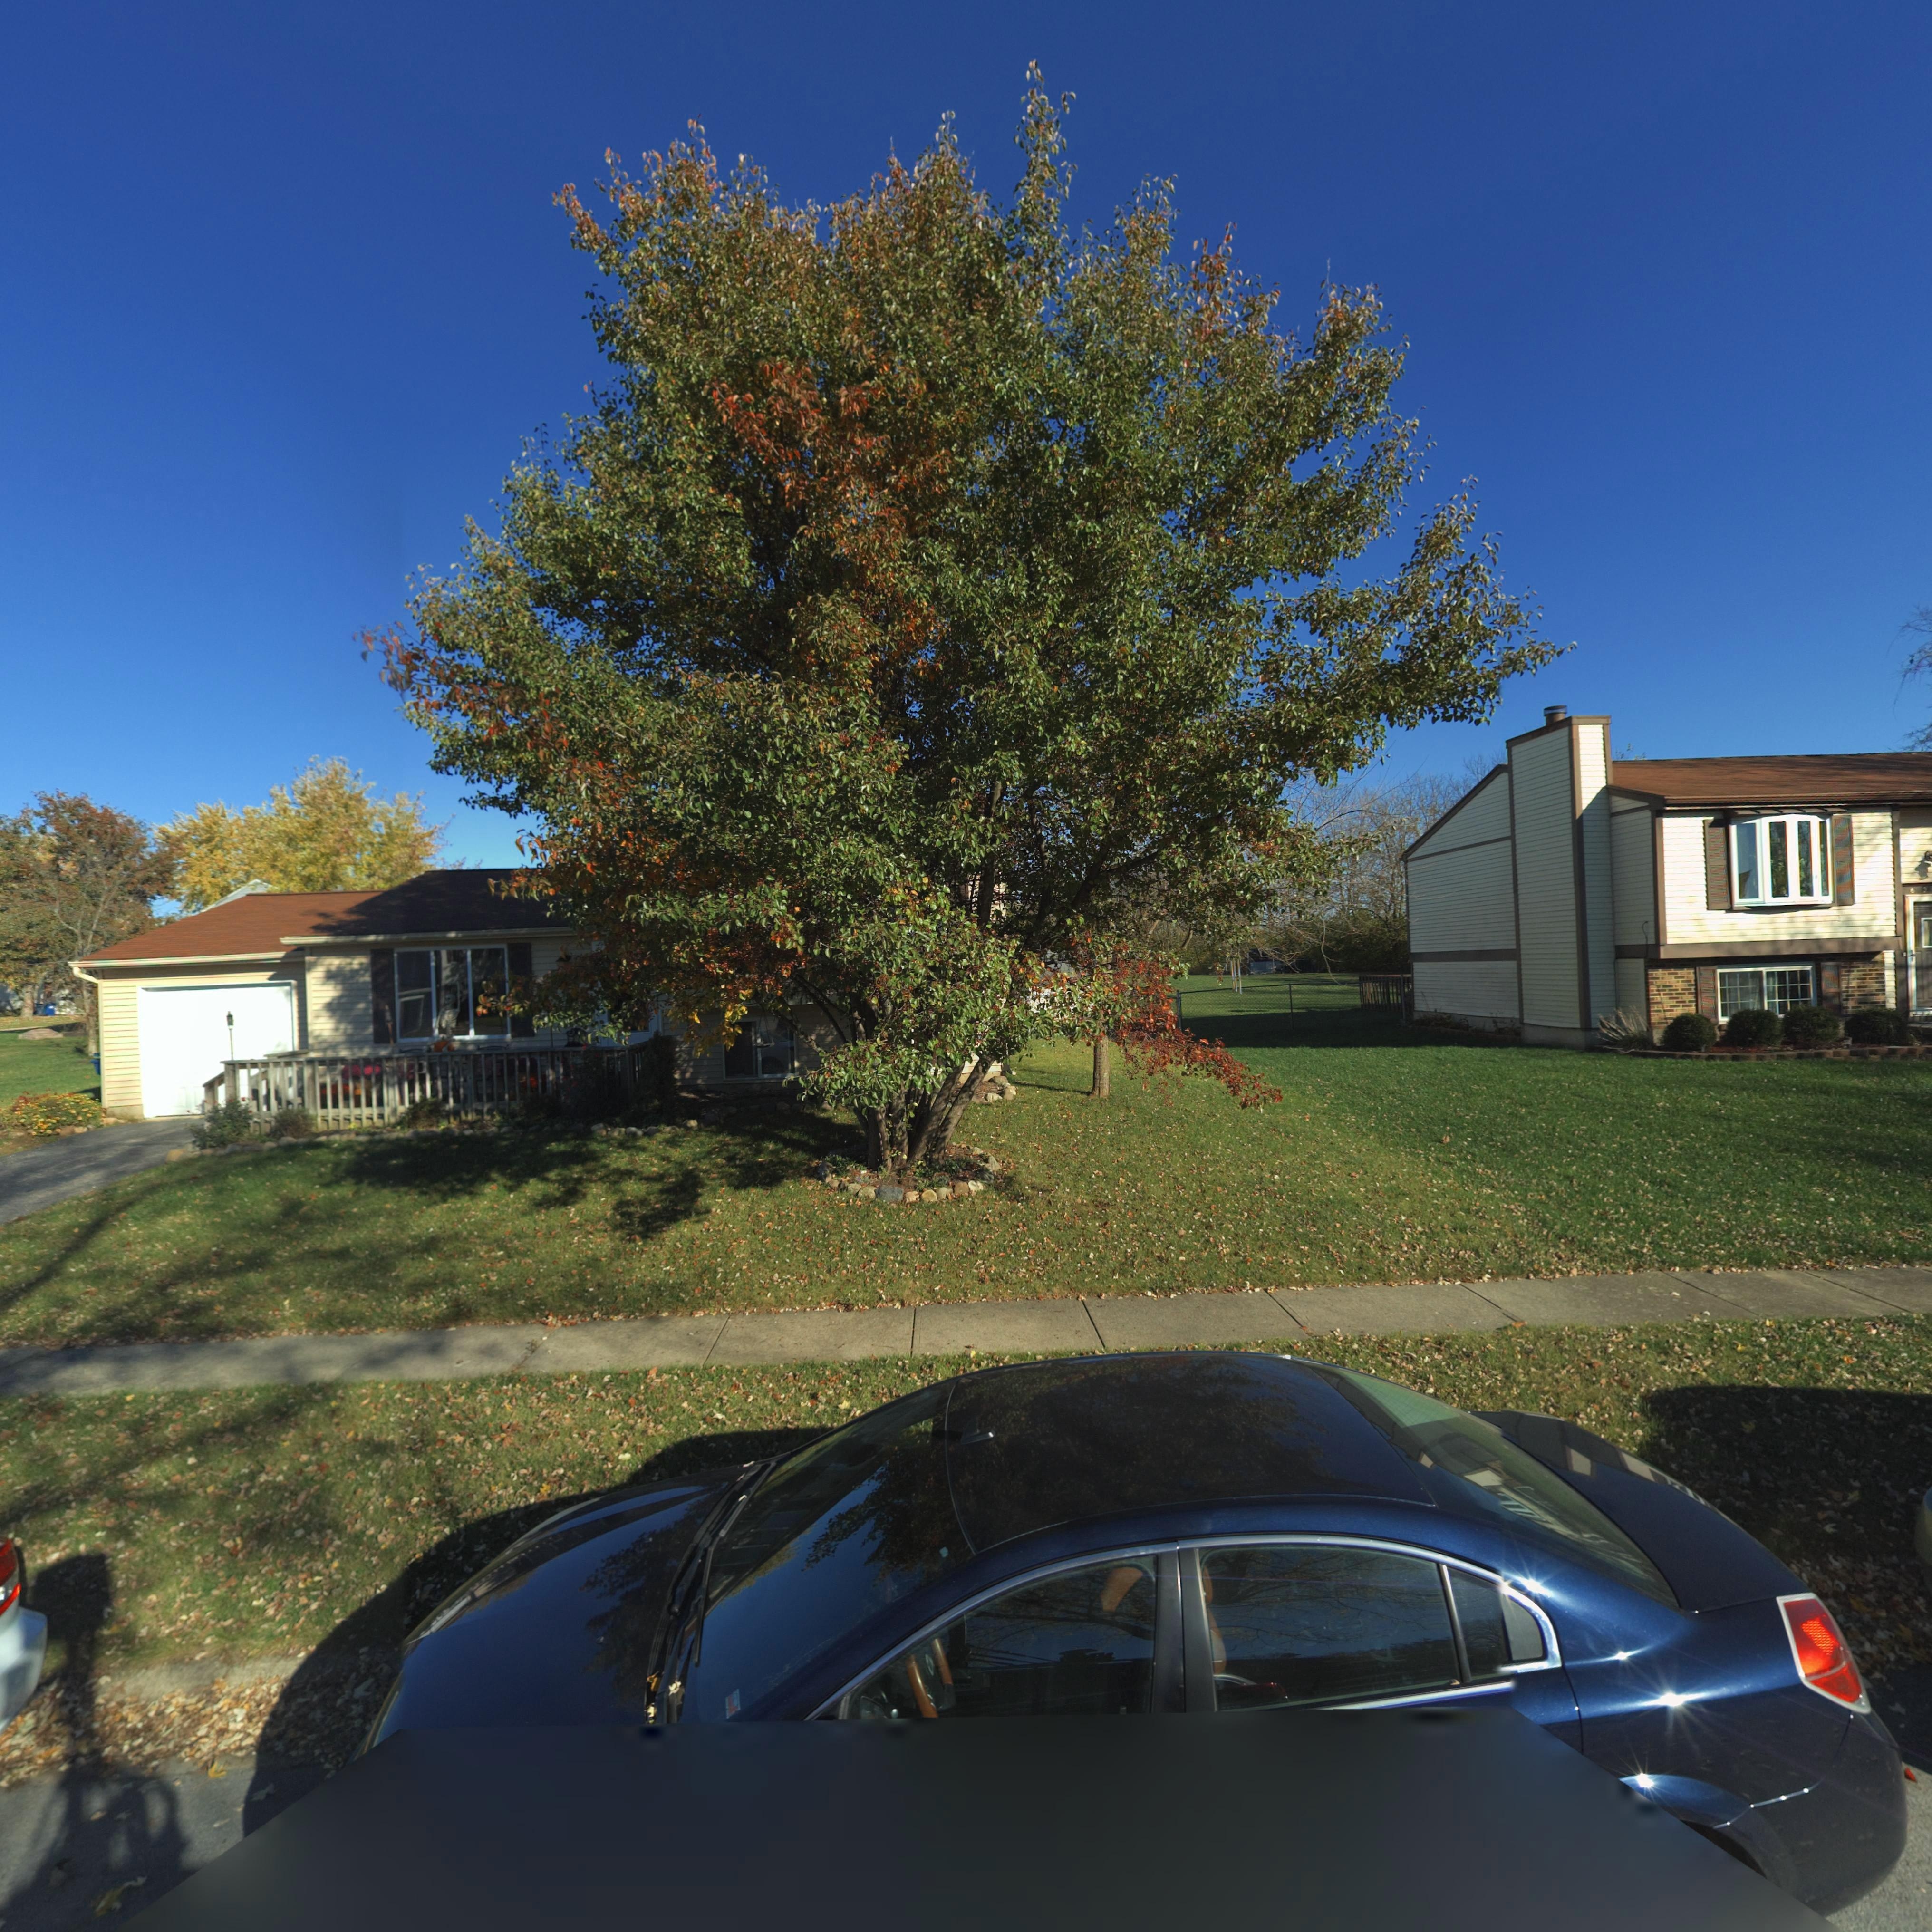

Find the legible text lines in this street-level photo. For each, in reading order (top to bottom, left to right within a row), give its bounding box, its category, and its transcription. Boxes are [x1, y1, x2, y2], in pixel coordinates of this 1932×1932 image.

[1908, 886, 1929, 895] StreetNumber: 6*